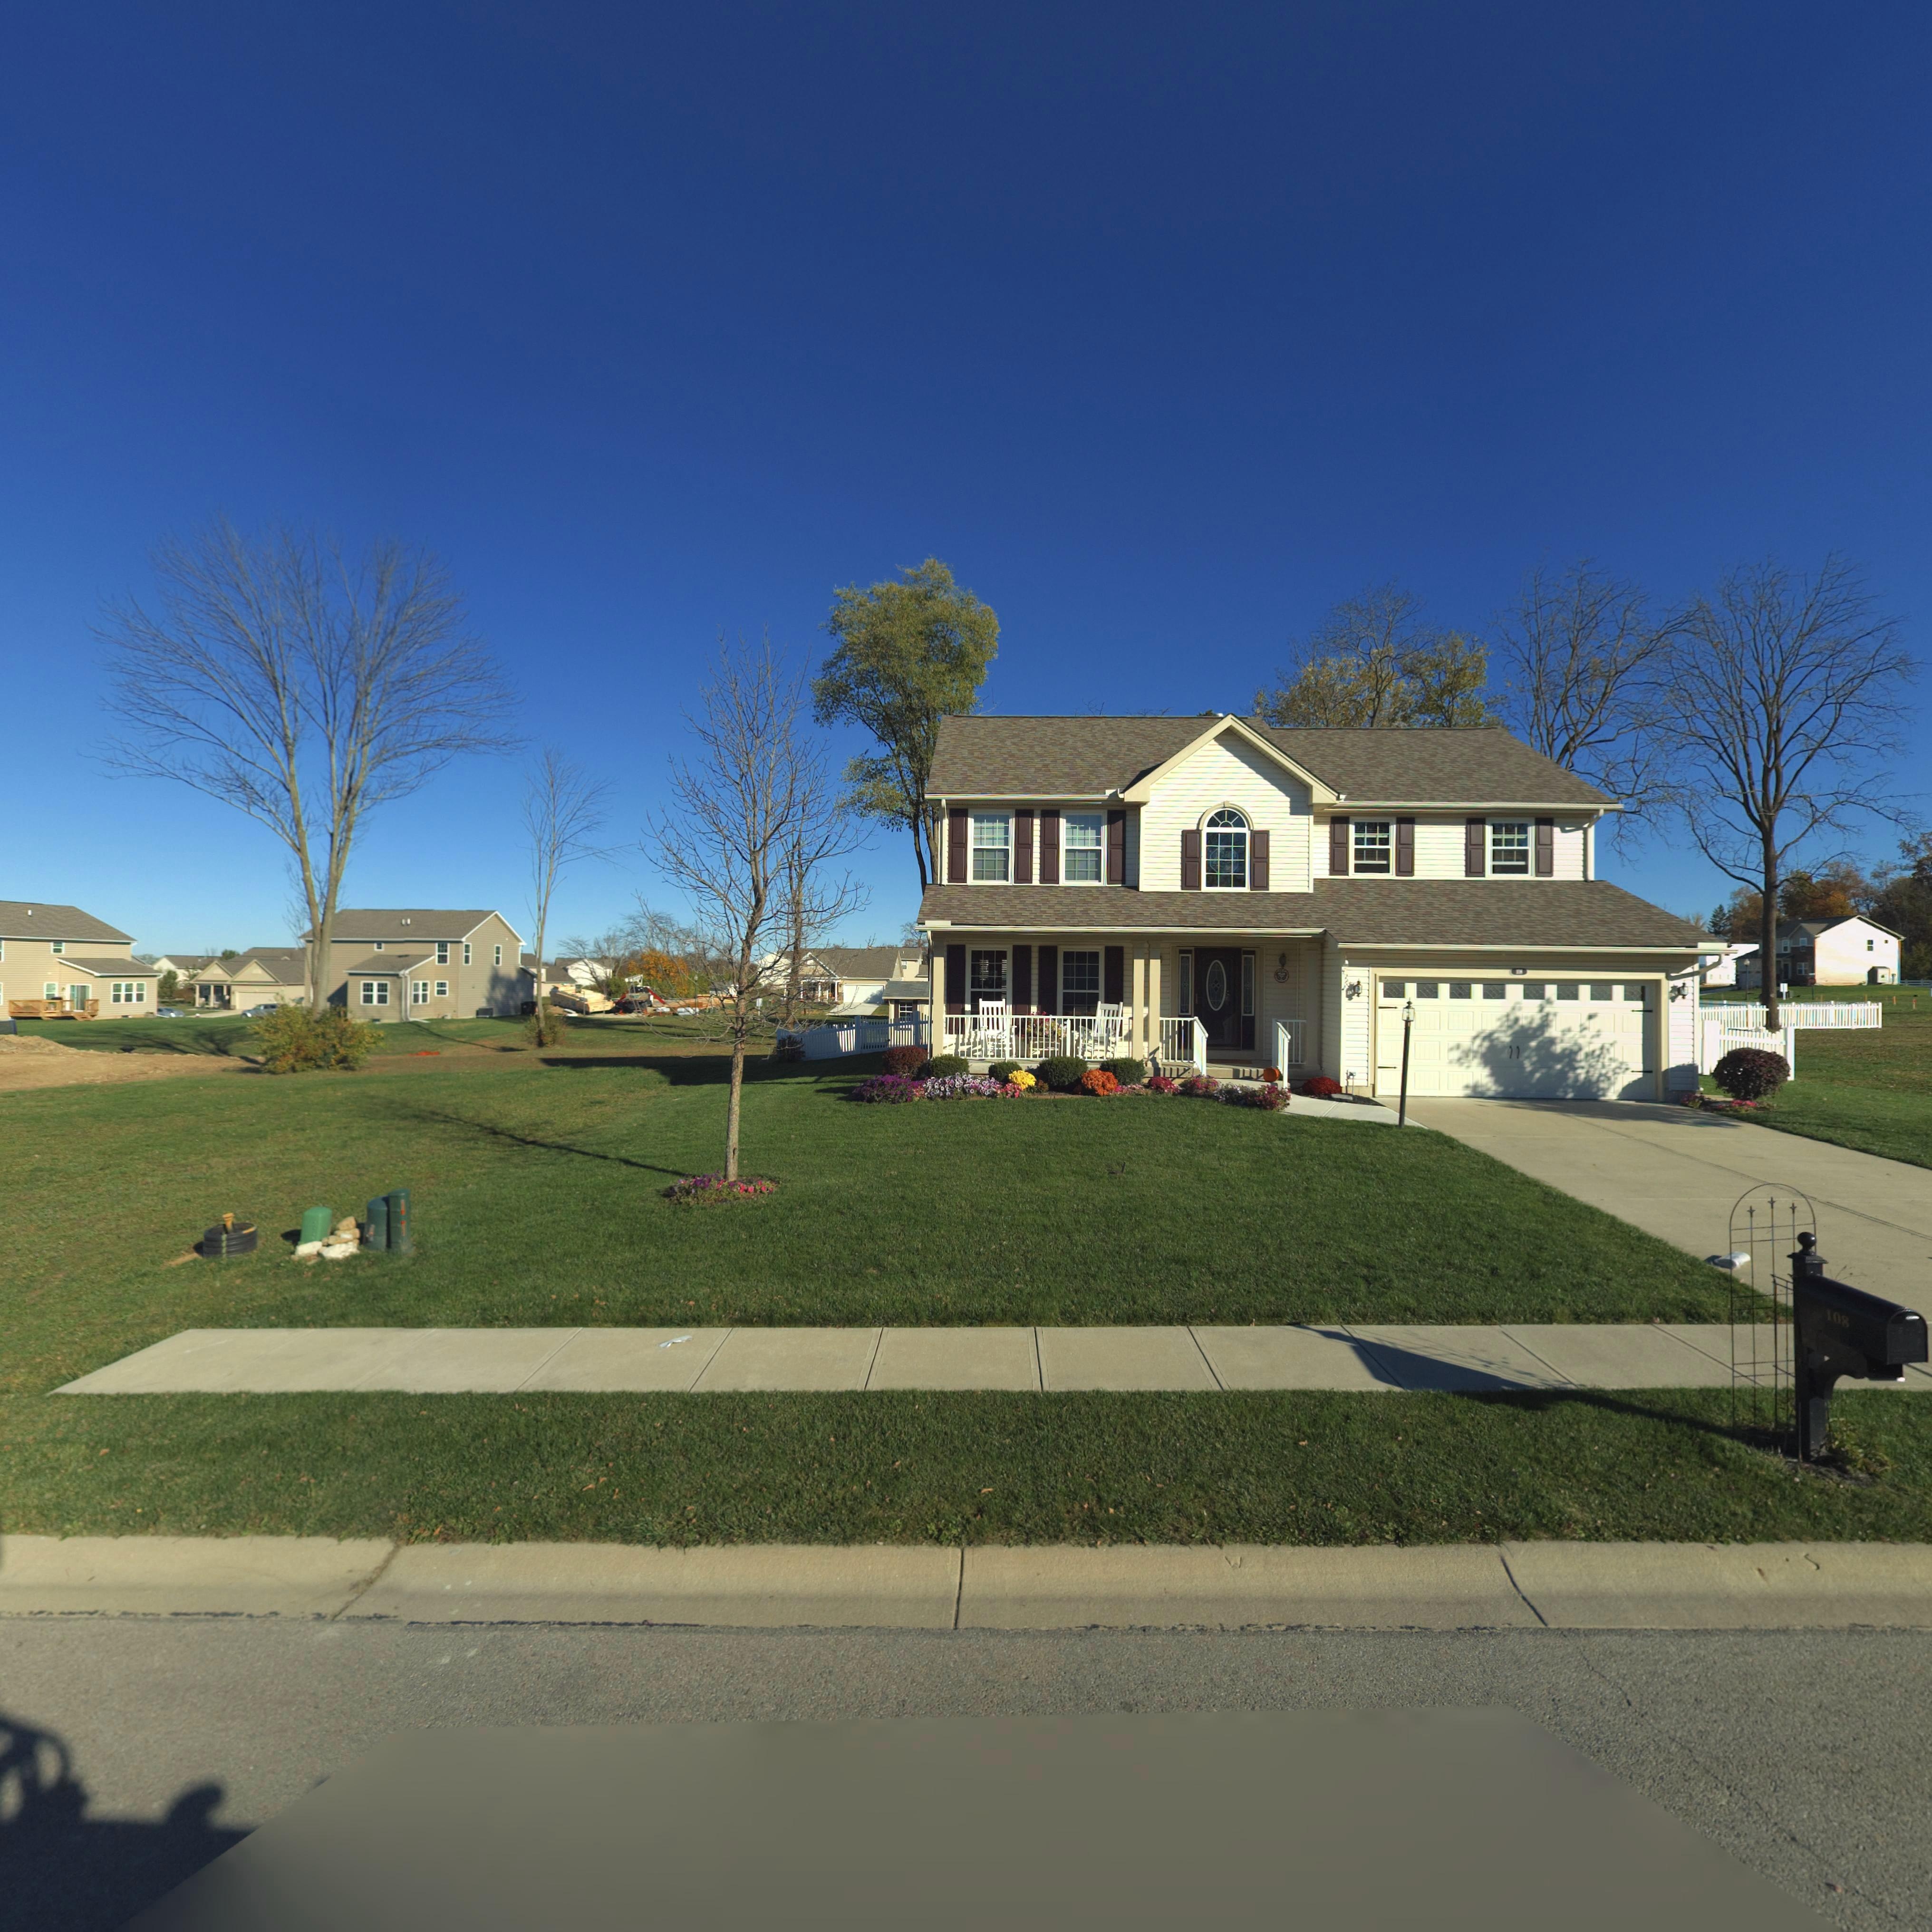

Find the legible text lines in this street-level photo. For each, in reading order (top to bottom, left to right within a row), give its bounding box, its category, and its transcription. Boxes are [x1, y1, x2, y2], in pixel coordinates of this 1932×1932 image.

[1515, 968, 1524, 975] StreetNumber: 108
[1824, 1305, 1850, 1331] StreetNumber: 108